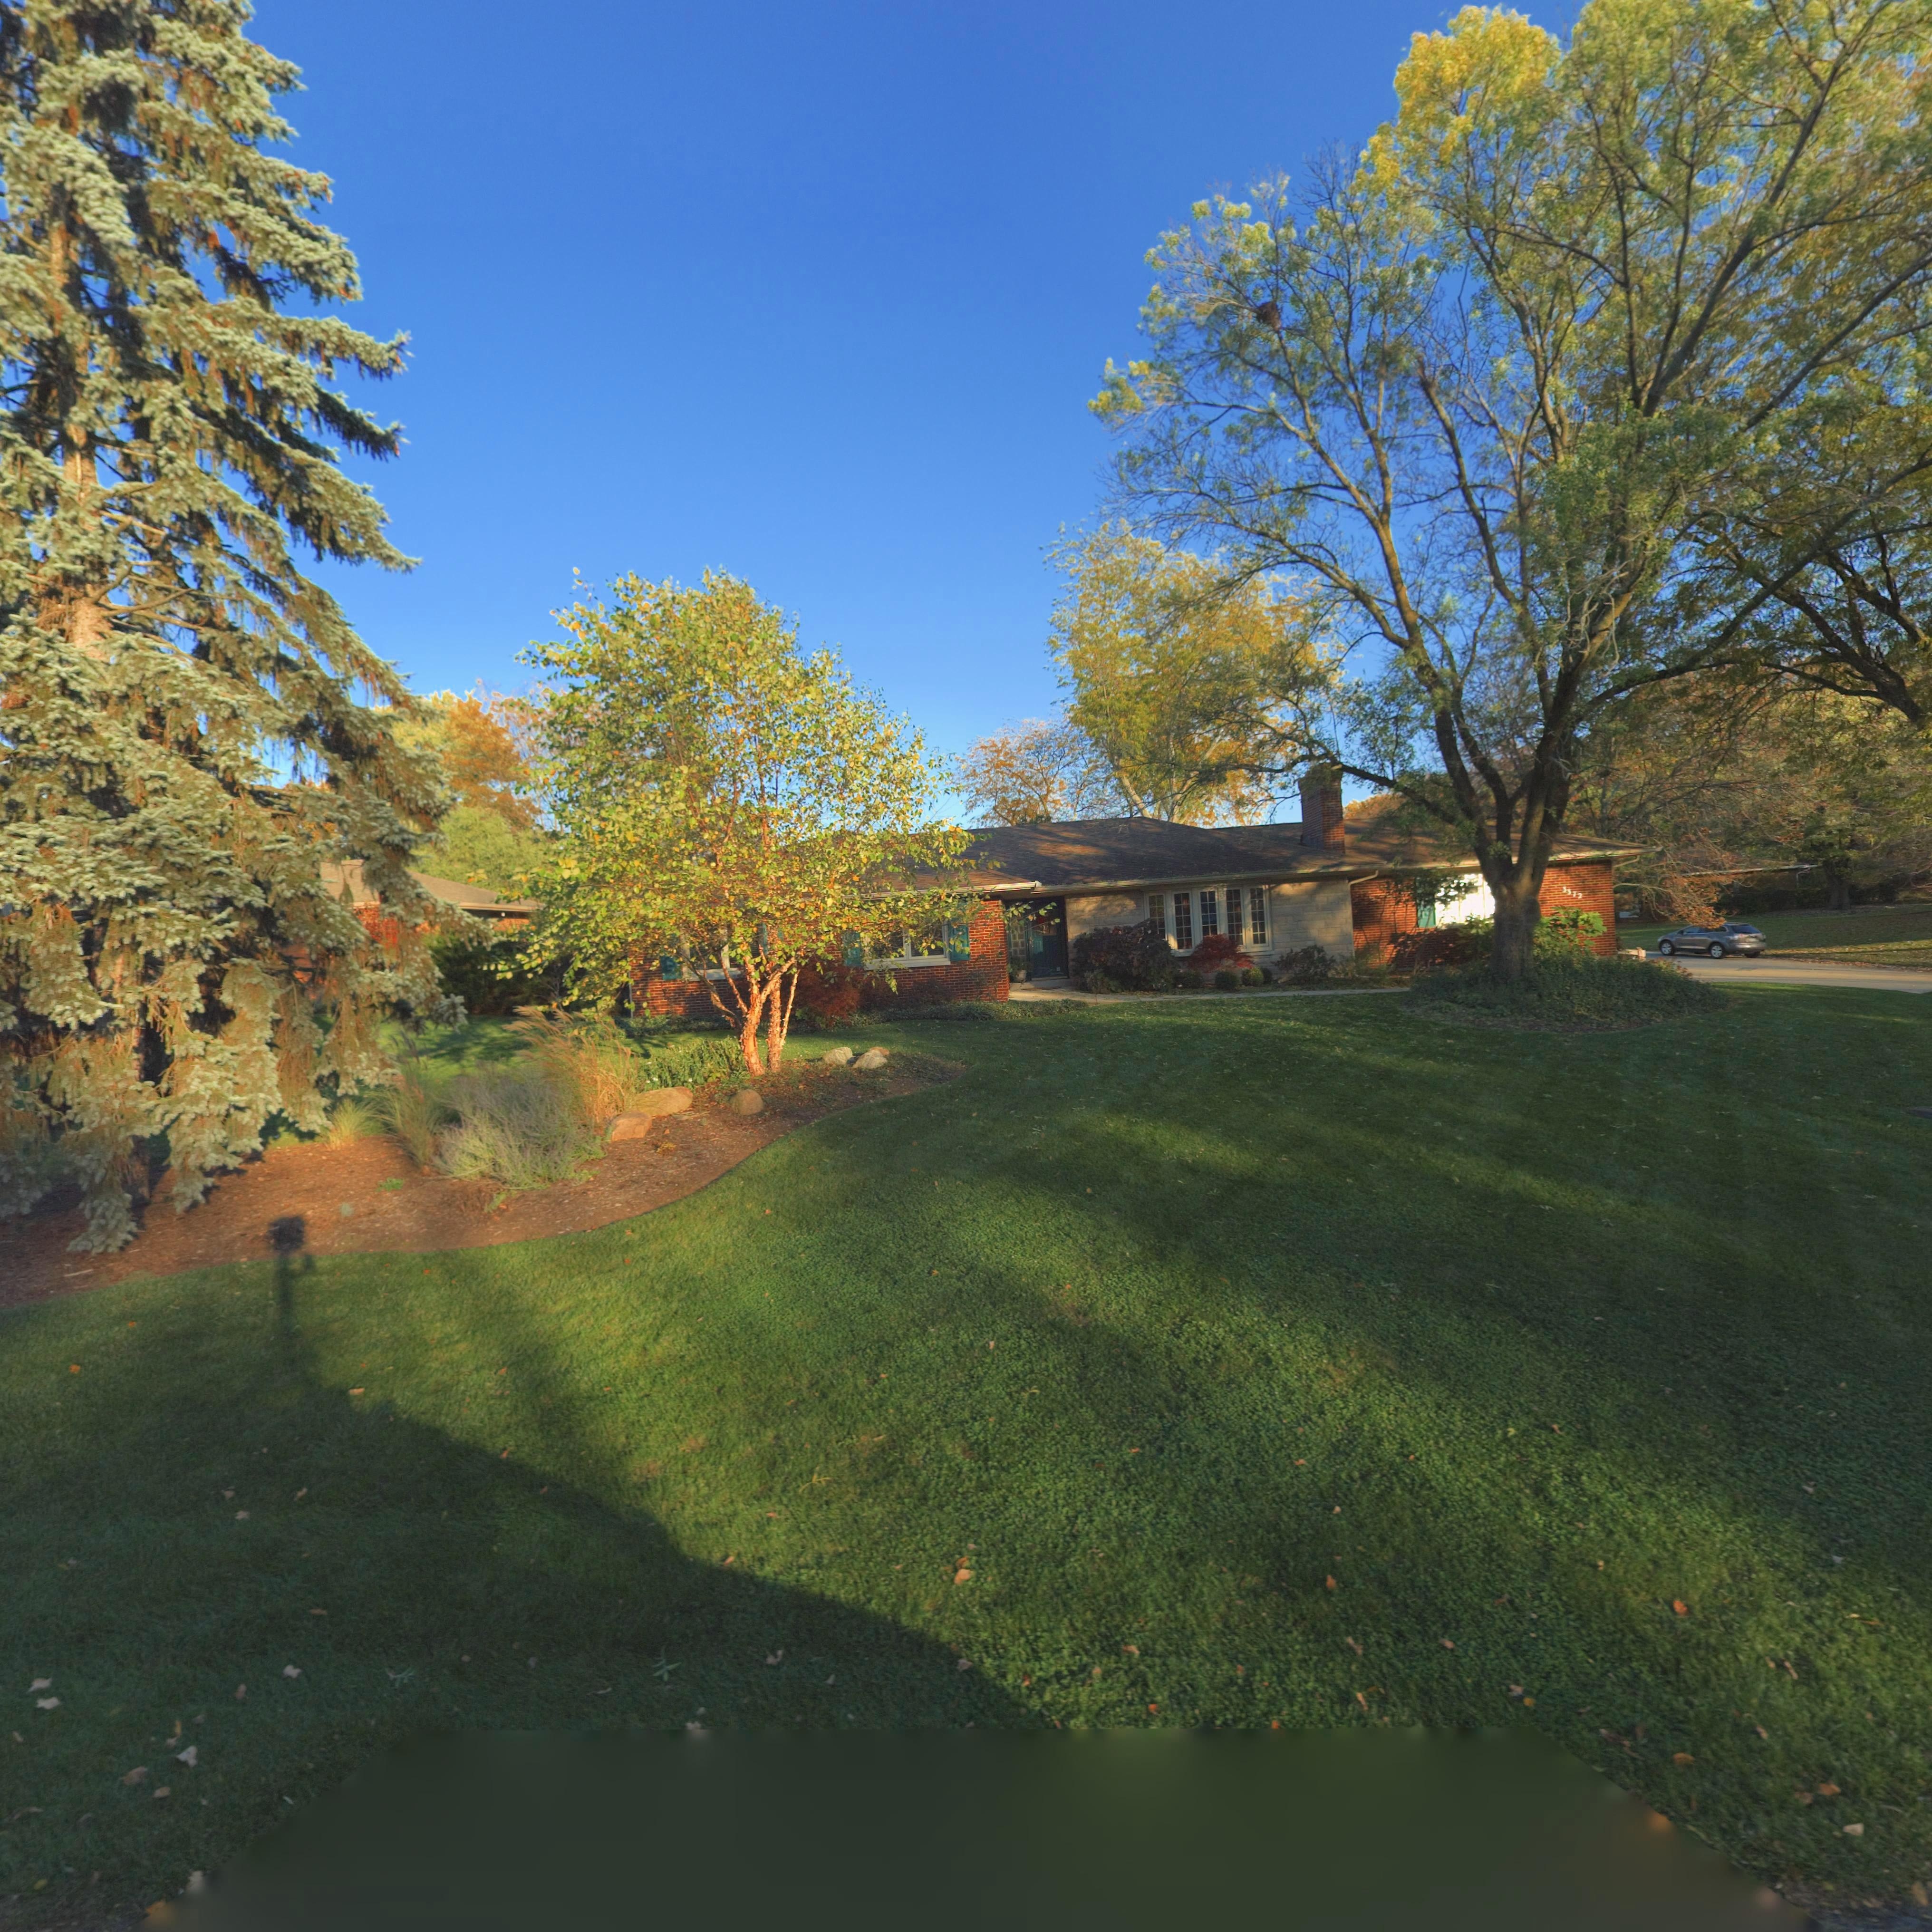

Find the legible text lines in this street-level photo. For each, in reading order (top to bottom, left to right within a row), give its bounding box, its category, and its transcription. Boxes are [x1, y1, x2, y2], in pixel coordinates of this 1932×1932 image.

[1561, 885, 1583, 899] StreetNumber: 3372